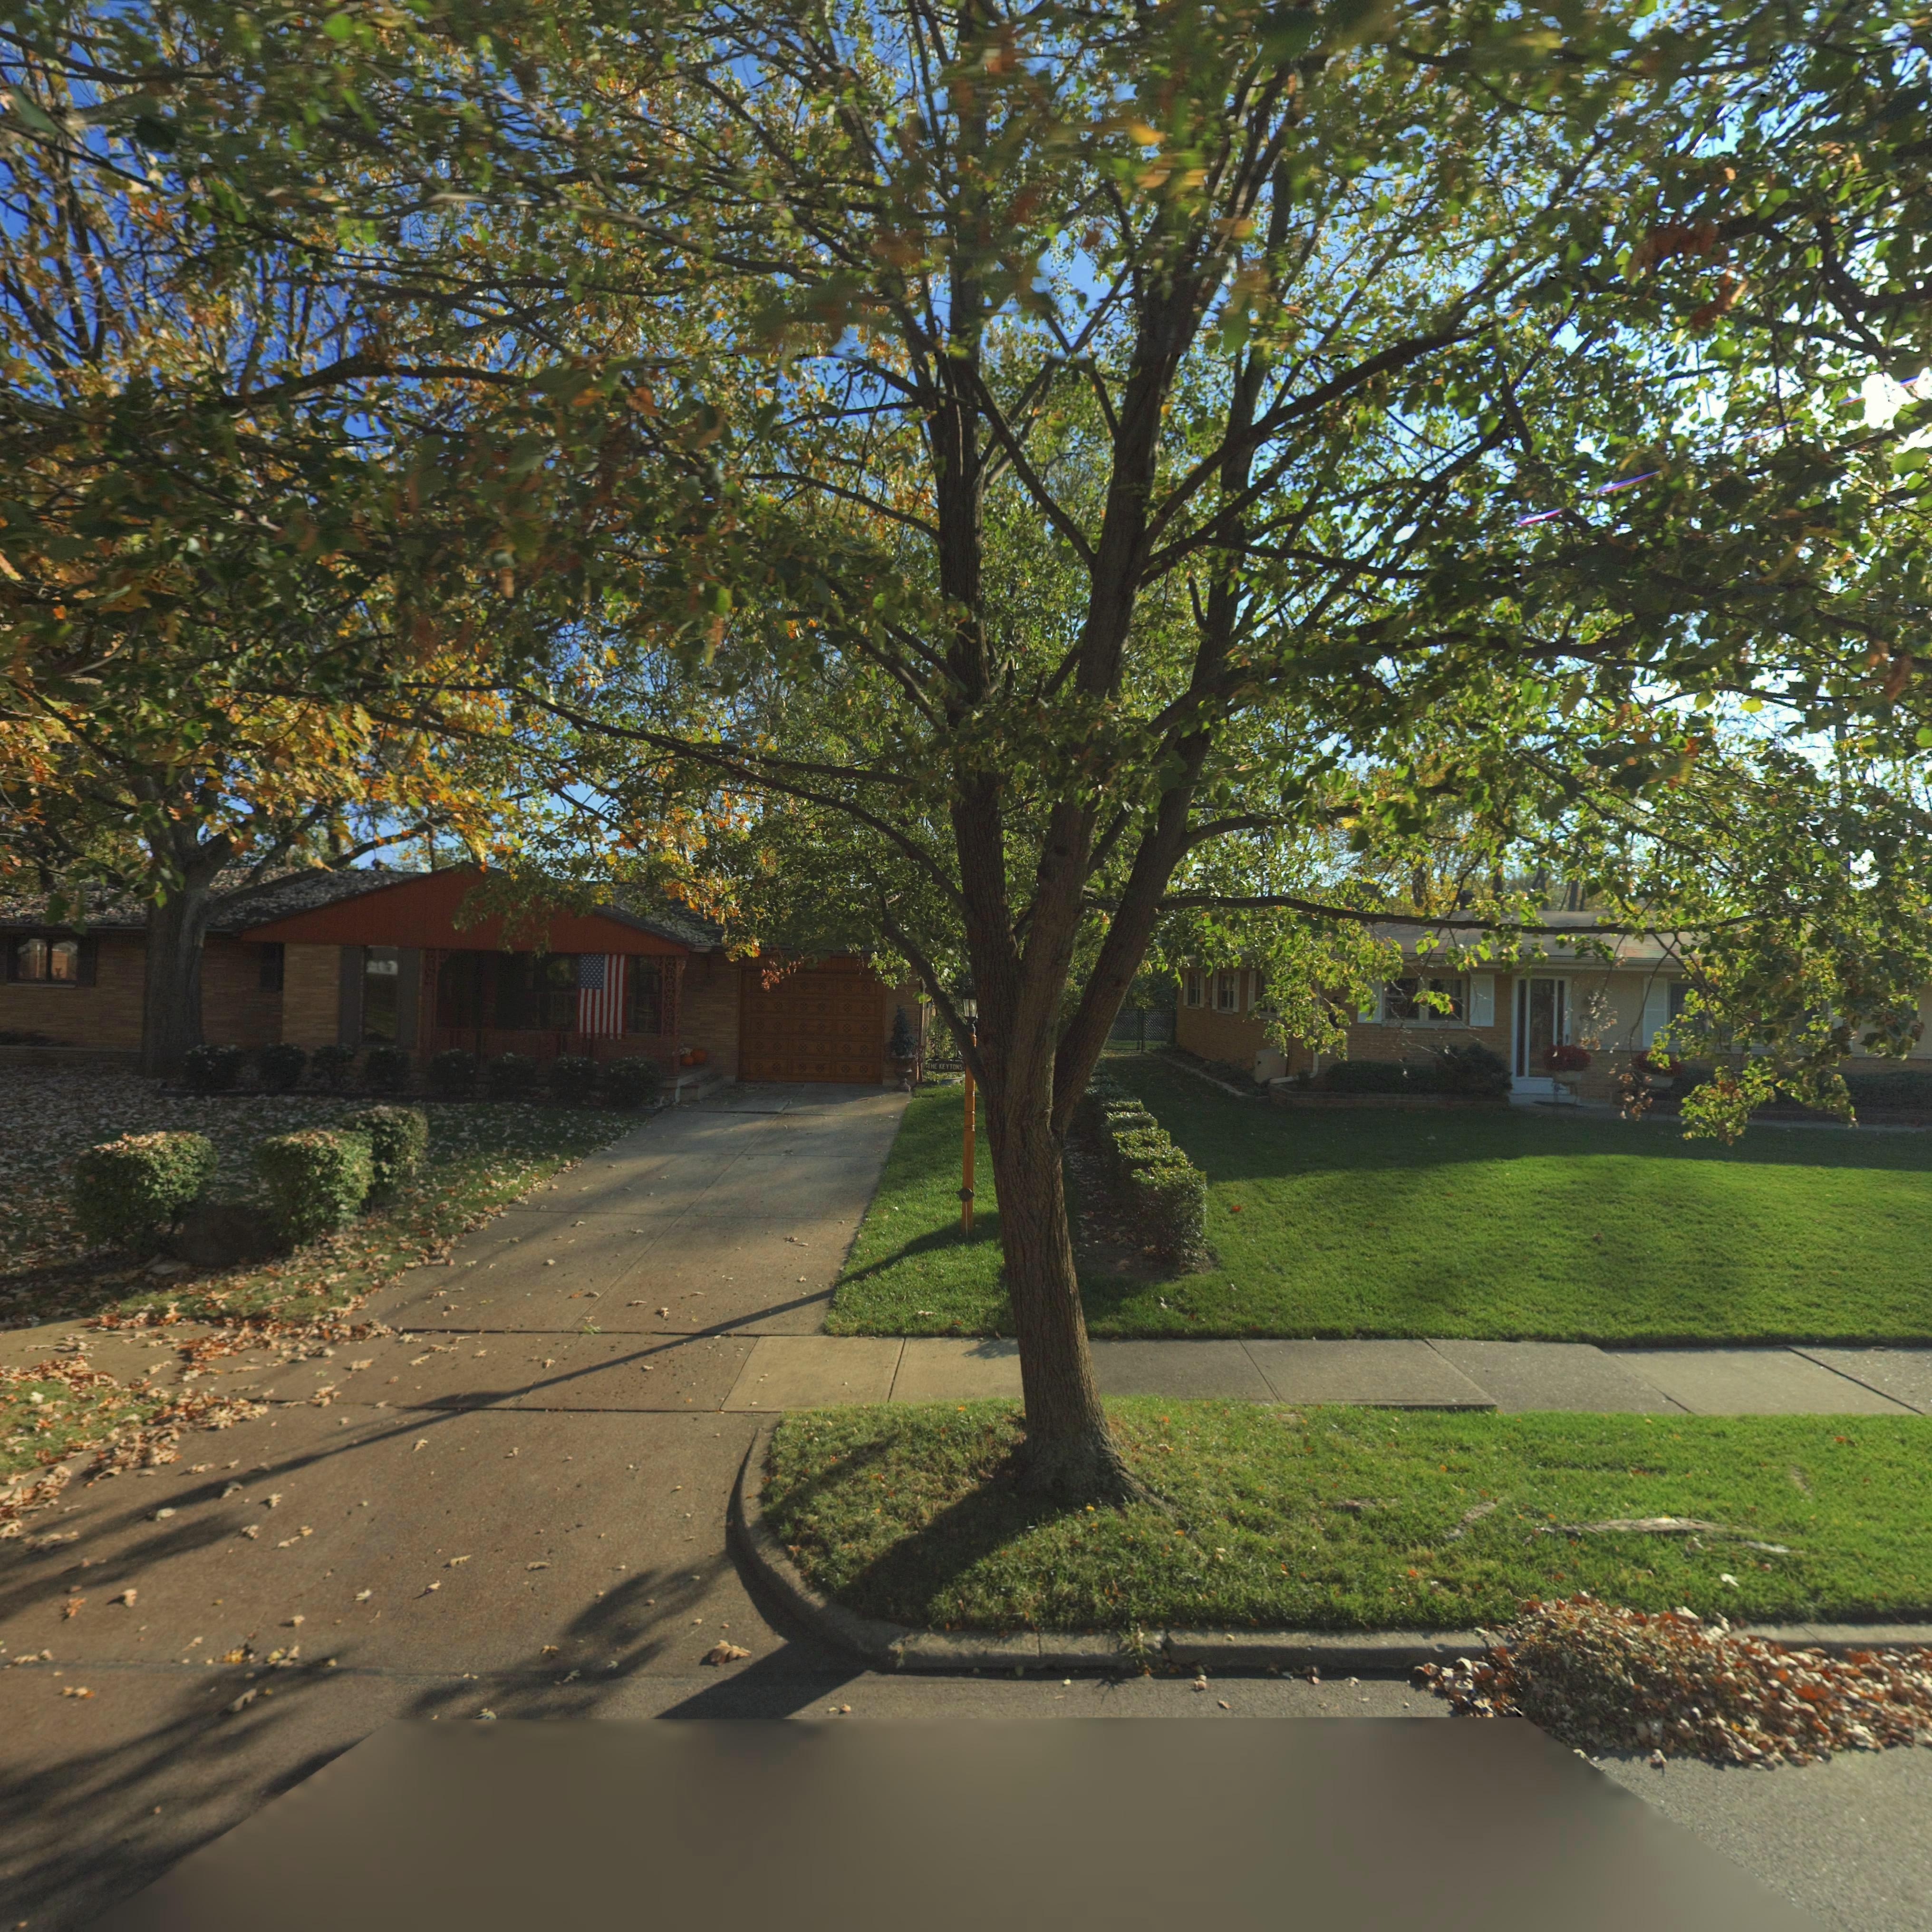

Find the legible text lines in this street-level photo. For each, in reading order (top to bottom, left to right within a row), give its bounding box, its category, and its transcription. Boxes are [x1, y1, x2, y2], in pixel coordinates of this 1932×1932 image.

[1579, 1014, 1596, 1022] StreetNumber: *5*